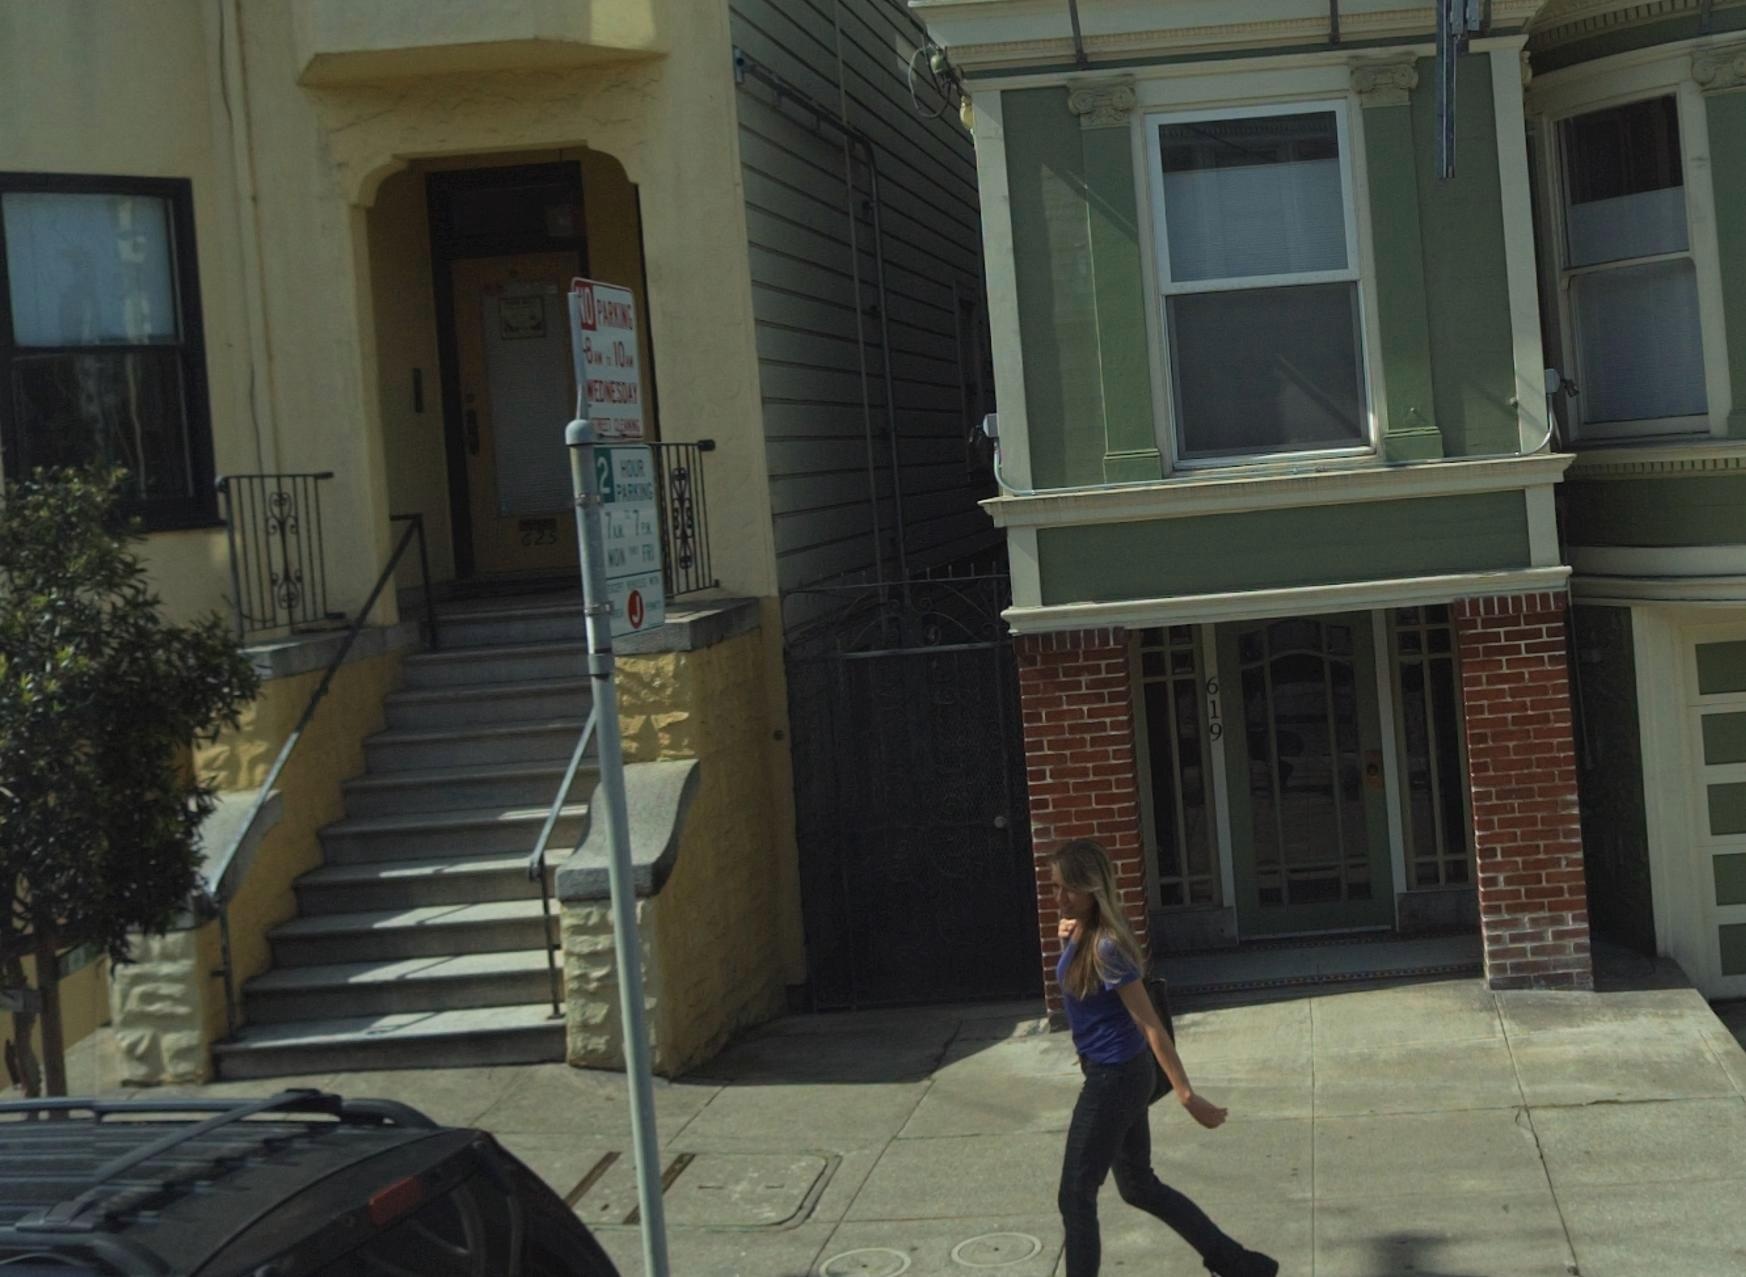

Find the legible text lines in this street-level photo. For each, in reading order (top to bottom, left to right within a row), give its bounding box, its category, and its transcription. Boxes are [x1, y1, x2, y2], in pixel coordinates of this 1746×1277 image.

[581, 283, 613, 329] None: O PA
[583, 334, 596, 367] None: 8
[610, 337, 627, 370] None: 10
[584, 375, 641, 406] None: *ED**S*AY
[595, 452, 614, 498] None: 2
[614, 480, 631, 503] None: PA
[616, 455, 649, 481] None: HOUR
[519, 527, 559, 549] StreetNumber: 625
[600, 508, 615, 542] None: 7
[628, 506, 643, 540] None: 7
[629, 591, 643, 627] None: J
[1203, 673, 1225, 743] StreetNumber: 619